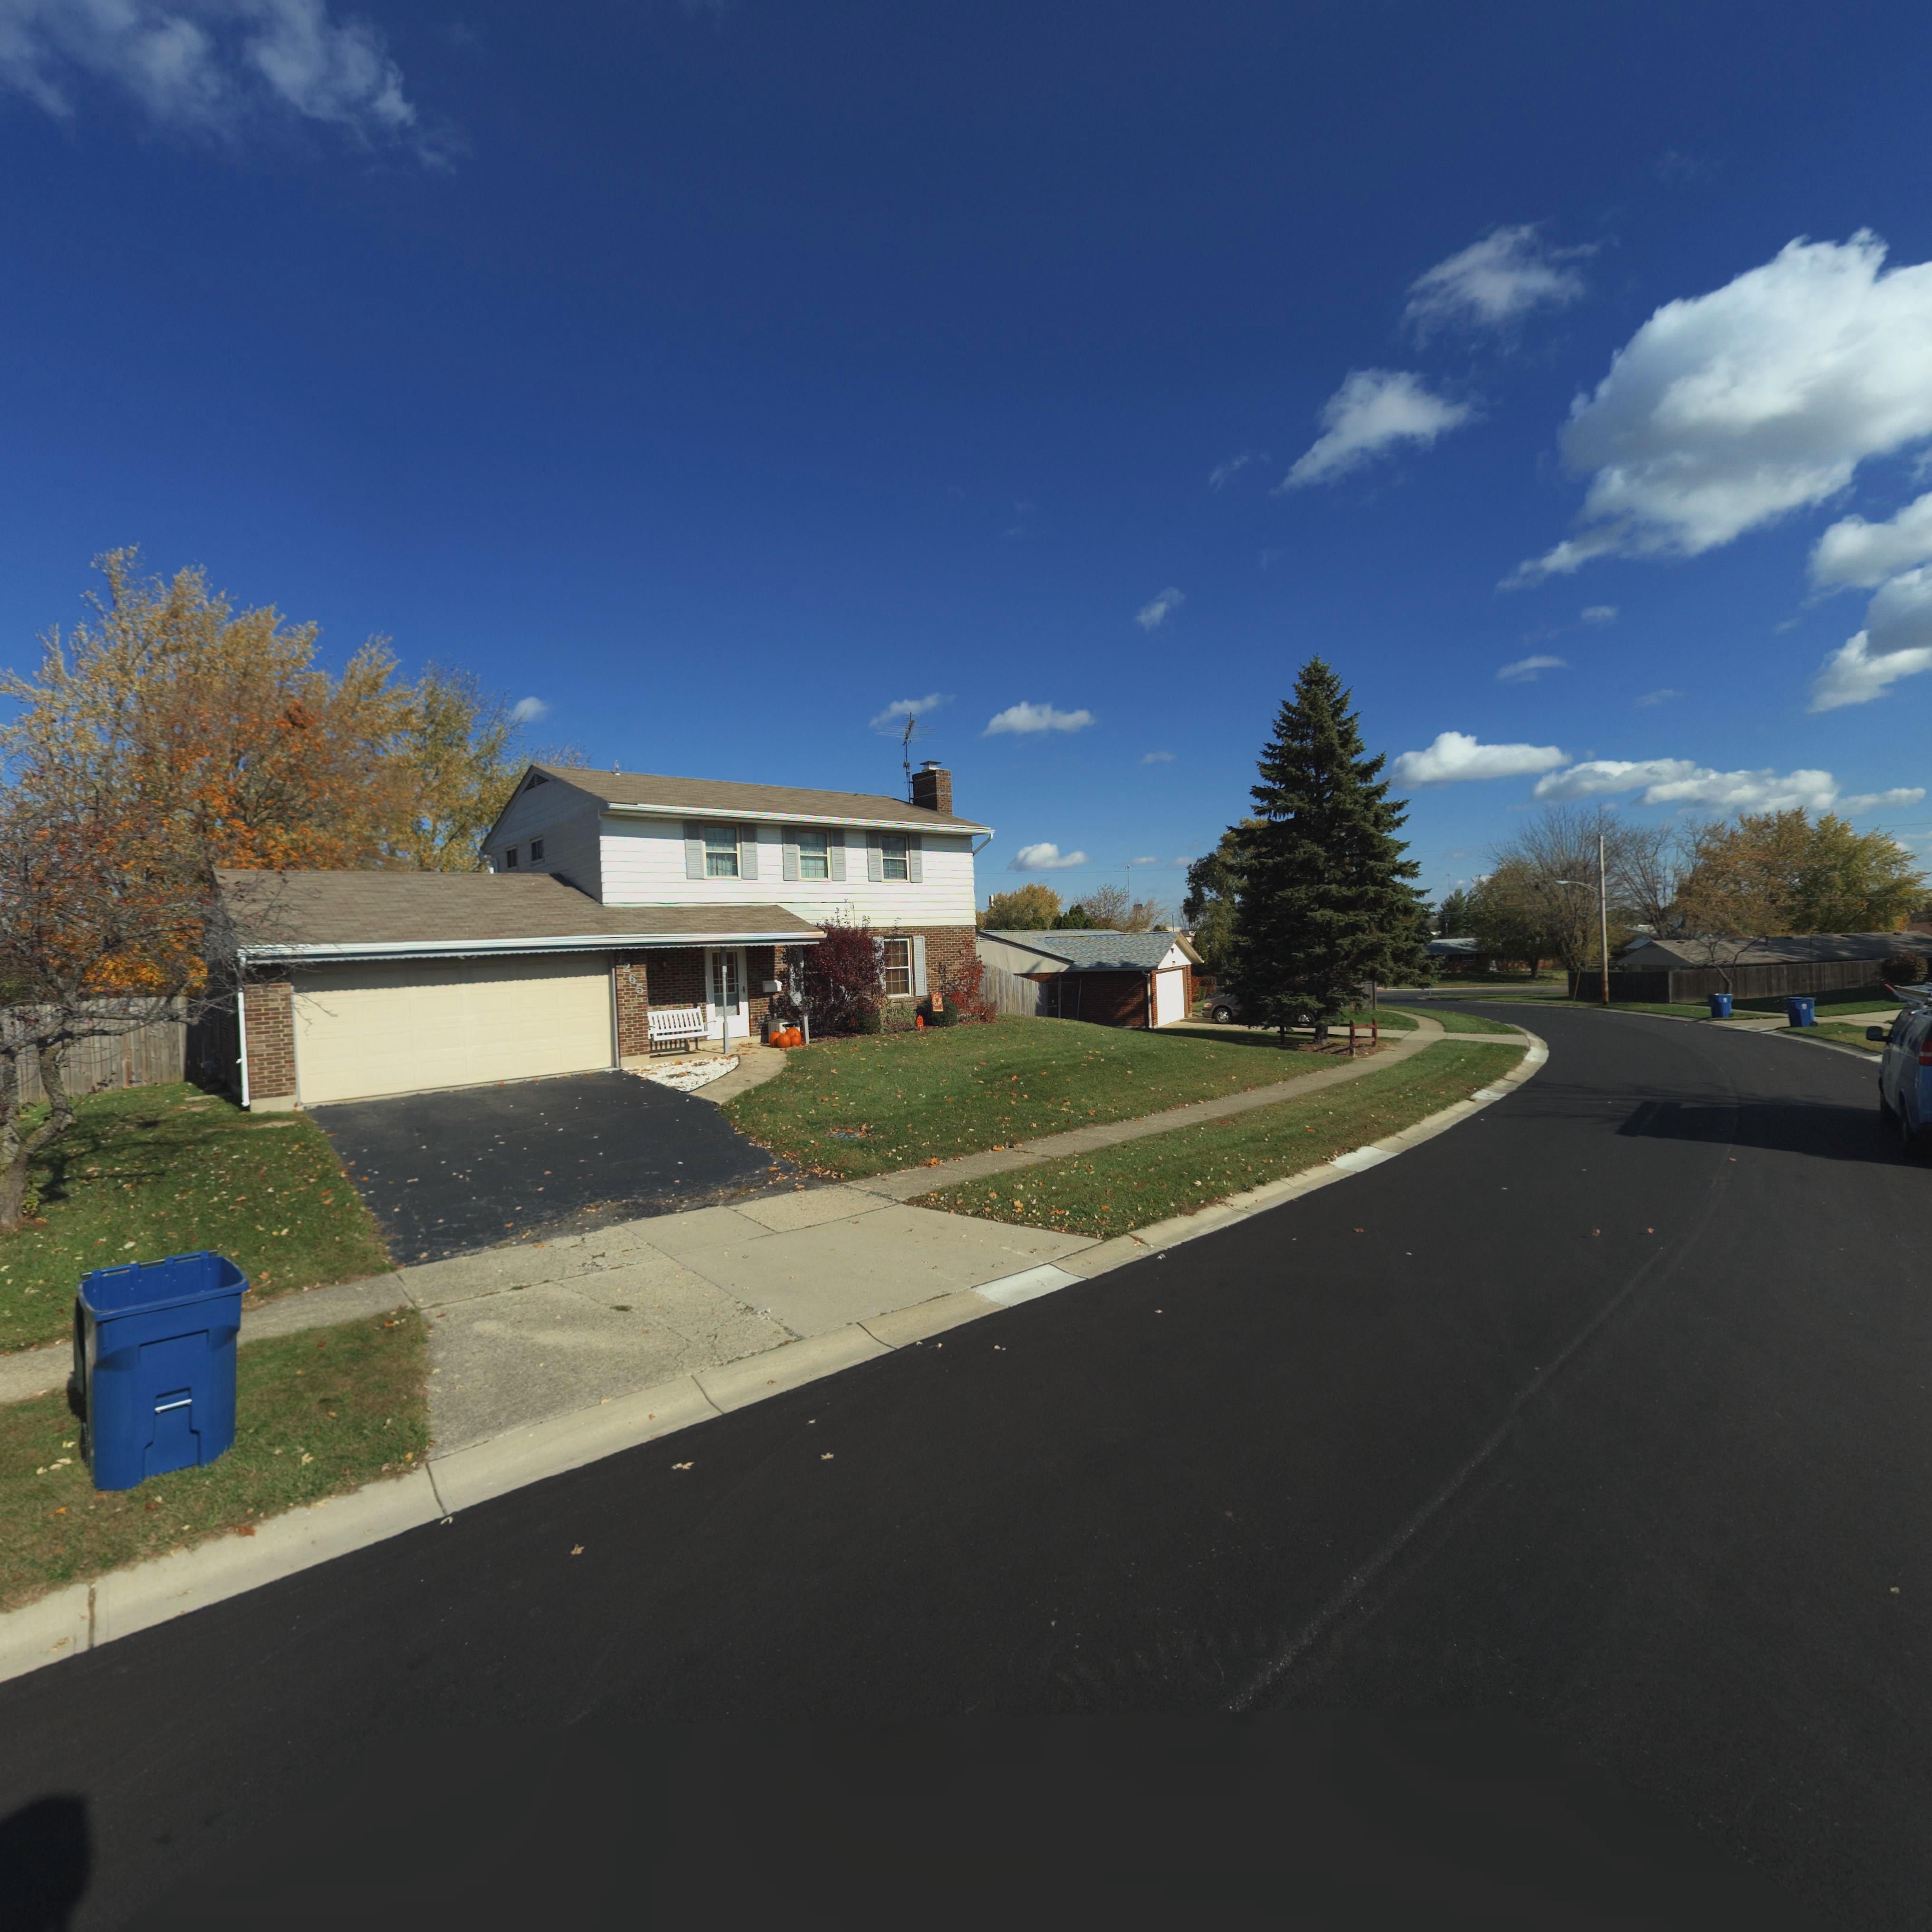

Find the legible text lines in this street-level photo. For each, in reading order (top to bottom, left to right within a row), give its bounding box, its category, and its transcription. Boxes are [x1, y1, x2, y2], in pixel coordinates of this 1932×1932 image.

[616, 951, 645, 996] StreetNumber: 7265